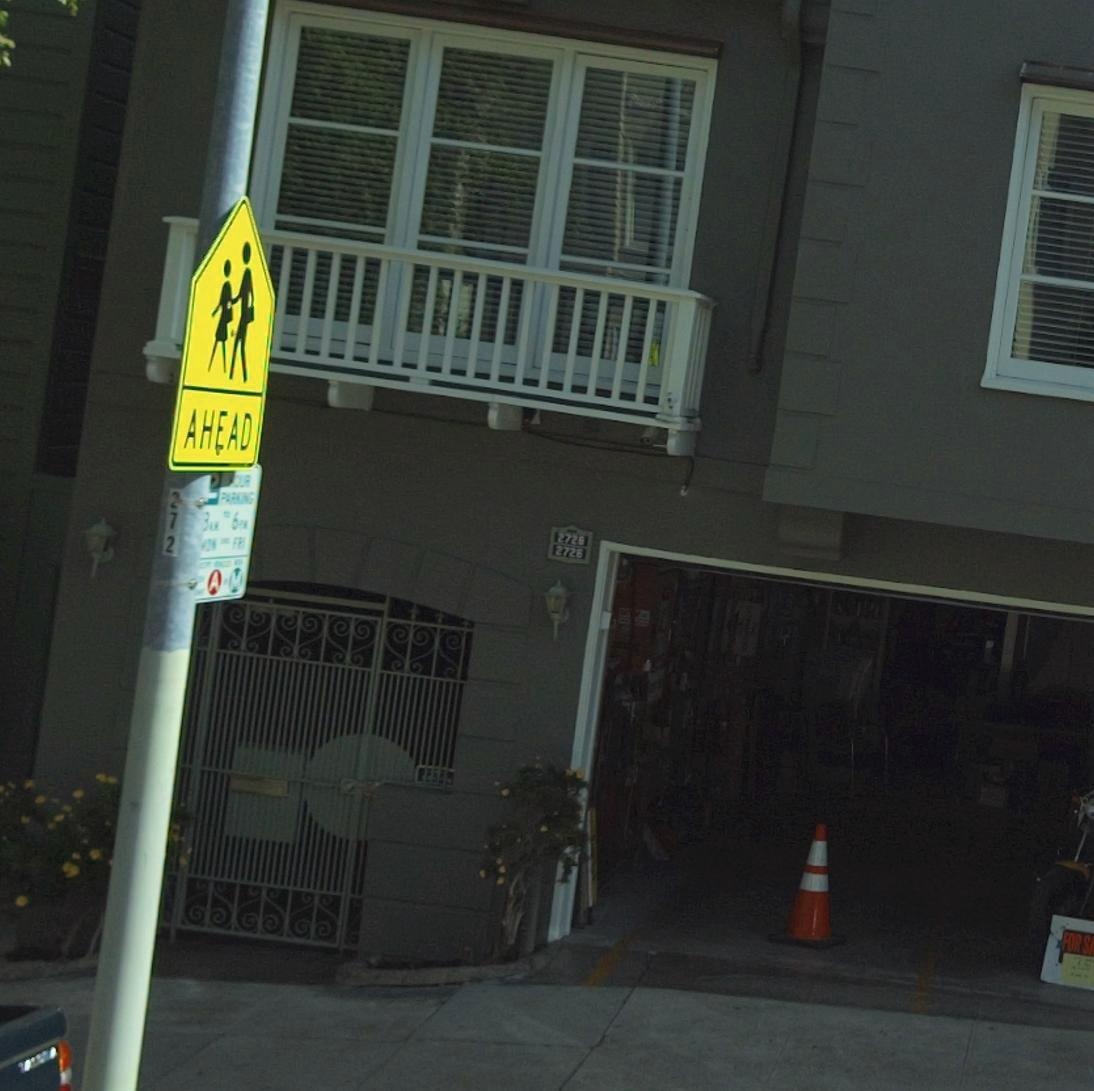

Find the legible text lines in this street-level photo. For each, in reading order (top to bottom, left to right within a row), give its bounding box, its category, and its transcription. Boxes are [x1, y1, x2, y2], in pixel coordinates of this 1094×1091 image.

[180, 406, 254, 452] None: AHEAD
[225, 472, 252, 489] None: HOUR
[218, 489, 256, 507] None: PARKING
[161, 489, 184, 557] None: 272
[230, 509, 241, 532] None: 6
[229, 534, 249, 552] None: FRI
[554, 544, 585, 561] StreetNumber: 2726
[556, 530, 586, 547] StreetNumber: 2728
[205, 571, 222, 593] None: A
[226, 569, 244, 594] None: M
[1059, 929, 1092, 956] None: FOR S